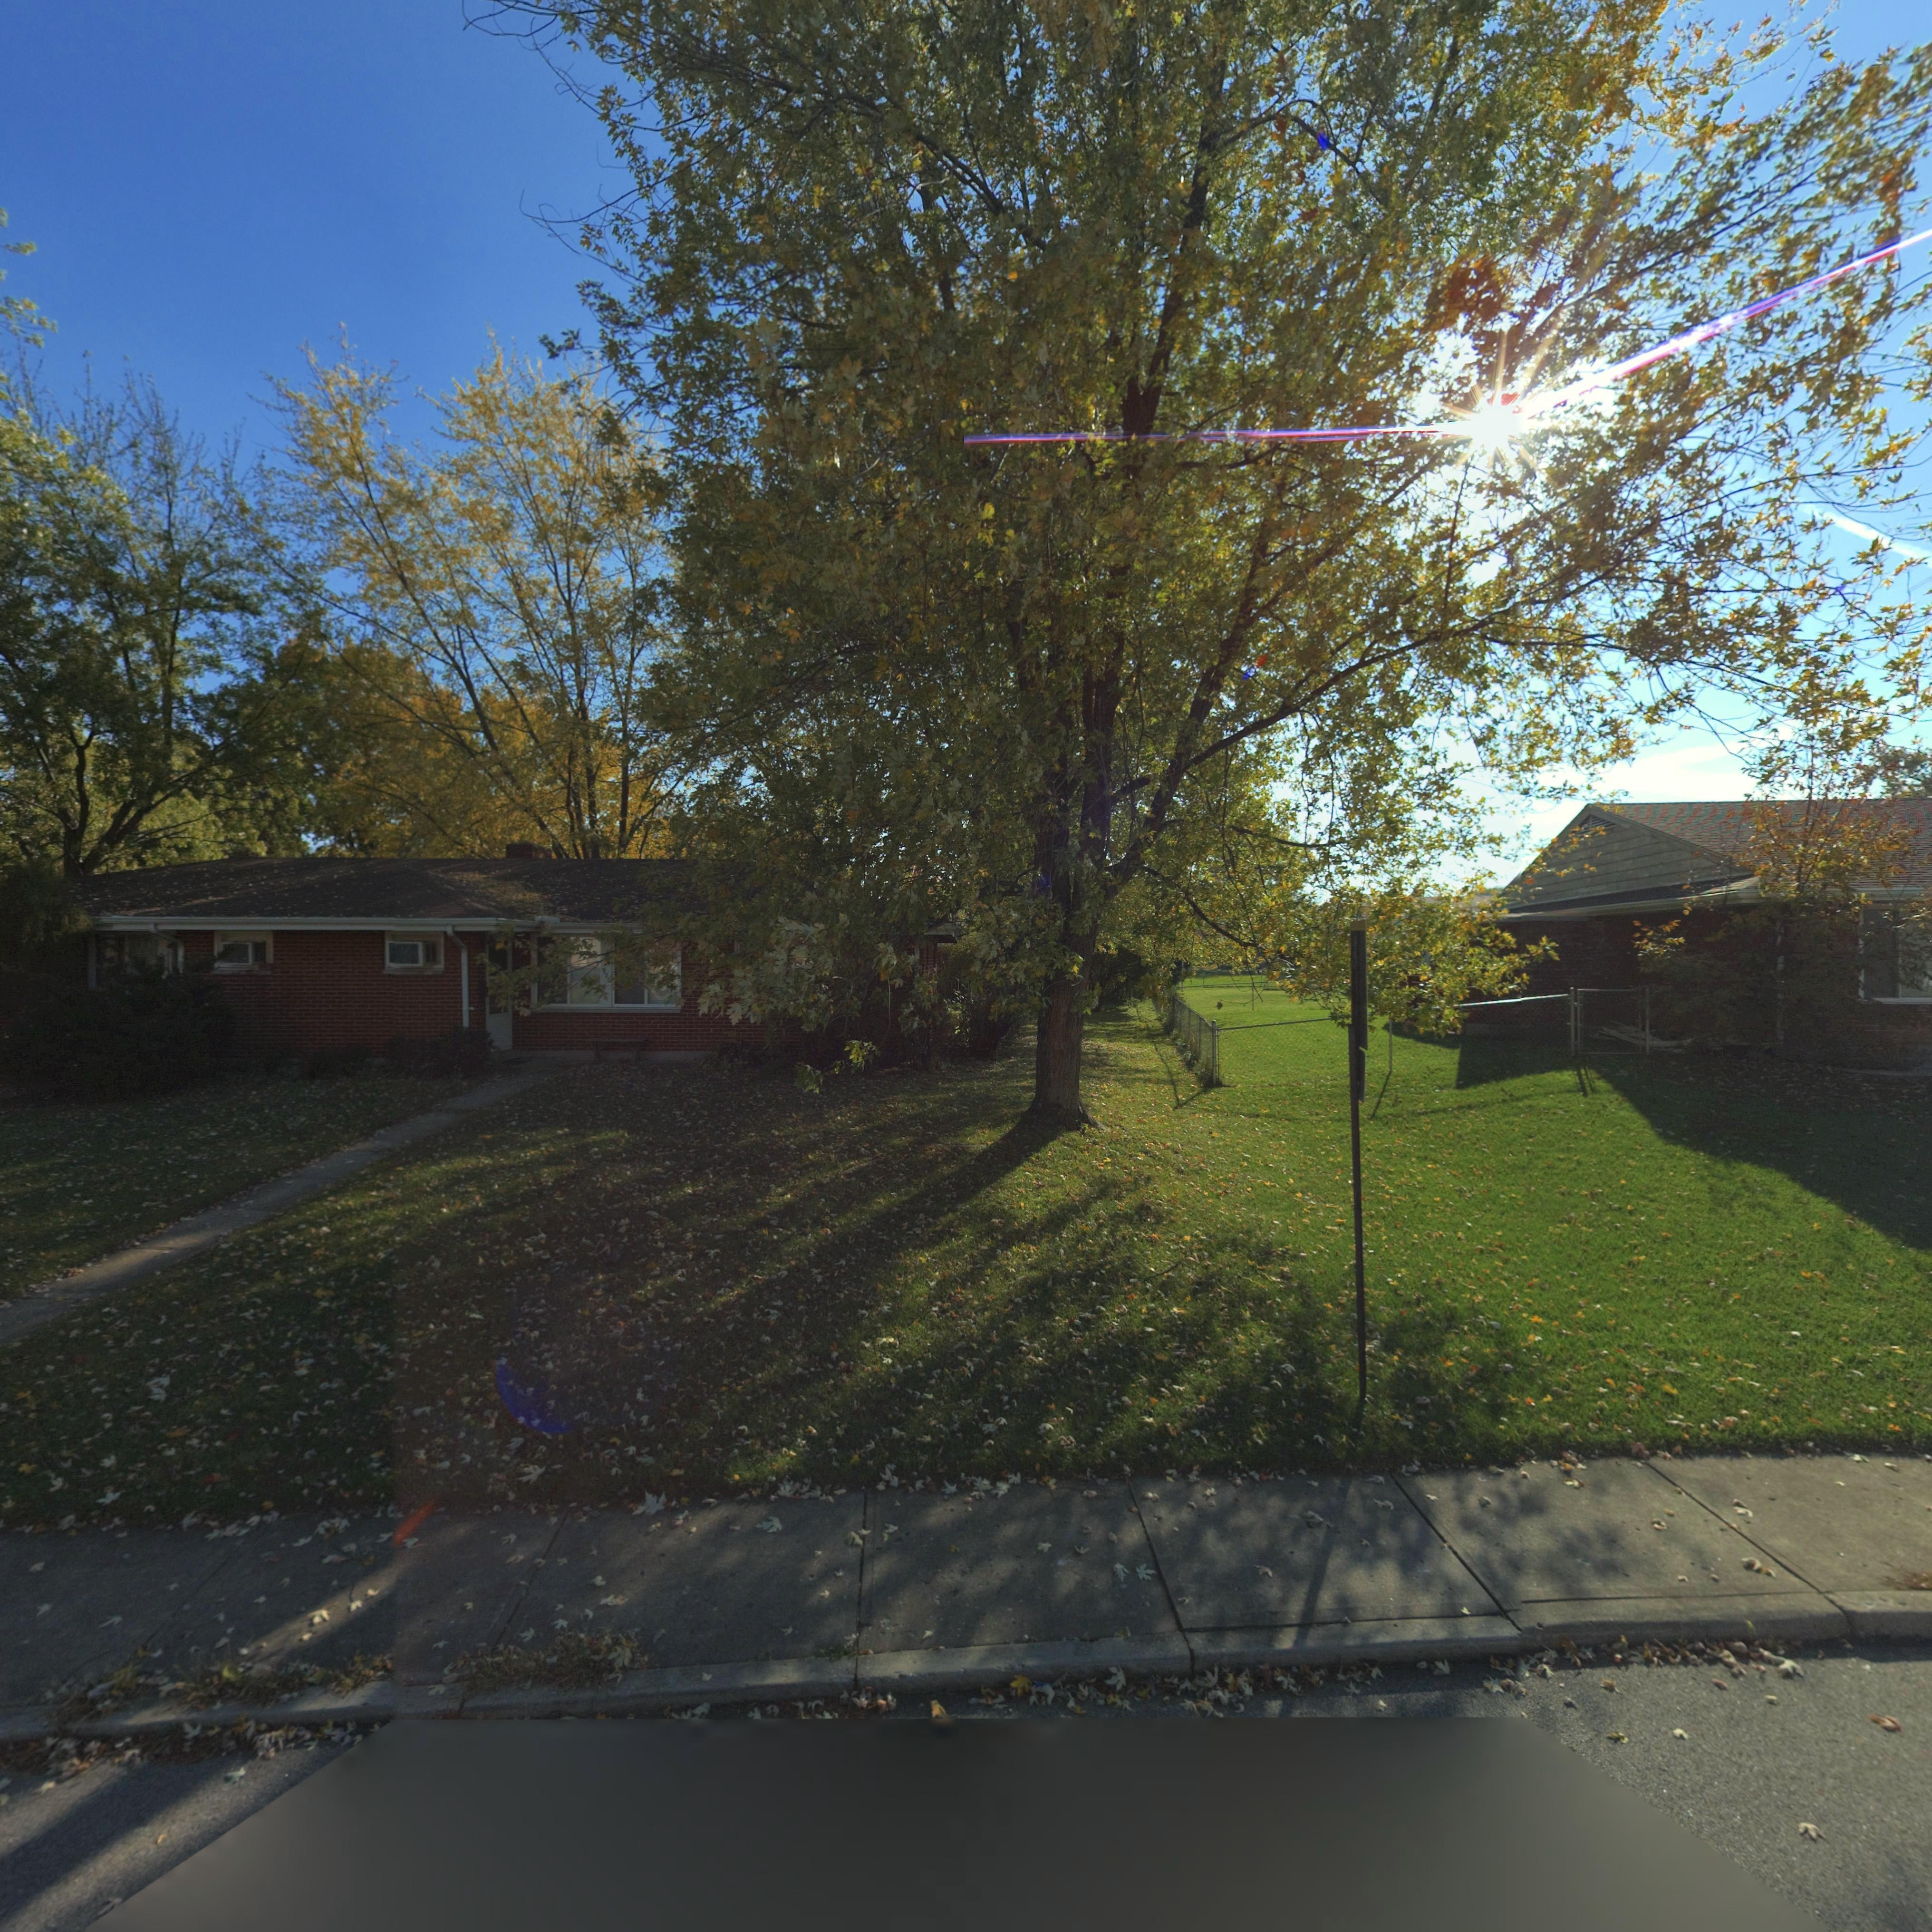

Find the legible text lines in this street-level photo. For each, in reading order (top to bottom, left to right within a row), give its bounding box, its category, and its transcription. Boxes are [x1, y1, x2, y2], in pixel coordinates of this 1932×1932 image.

[601, 967, 611, 983] StreetNumber: 920